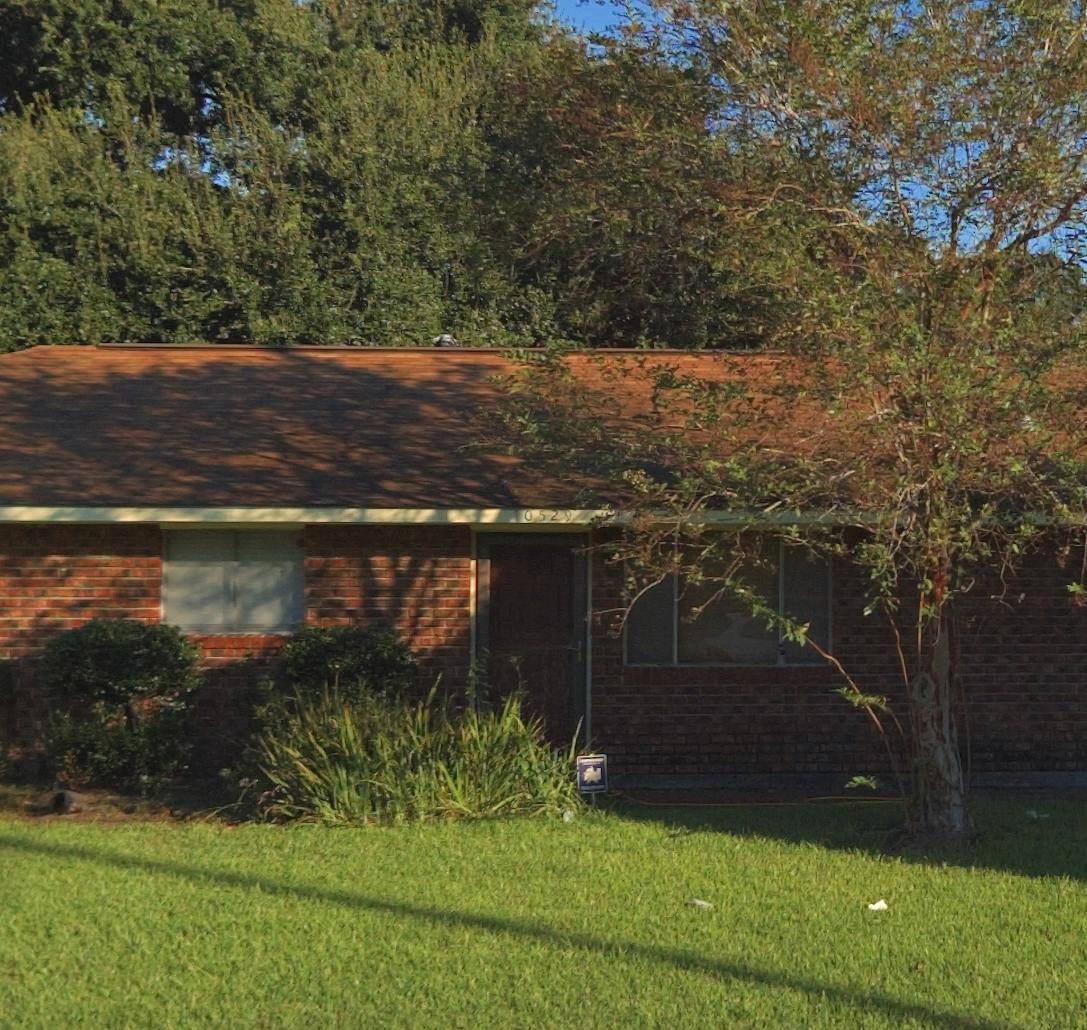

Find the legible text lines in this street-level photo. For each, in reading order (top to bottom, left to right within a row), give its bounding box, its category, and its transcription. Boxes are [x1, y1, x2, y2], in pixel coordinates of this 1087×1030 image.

[513, 507, 574, 525] StreetNumber: 10529